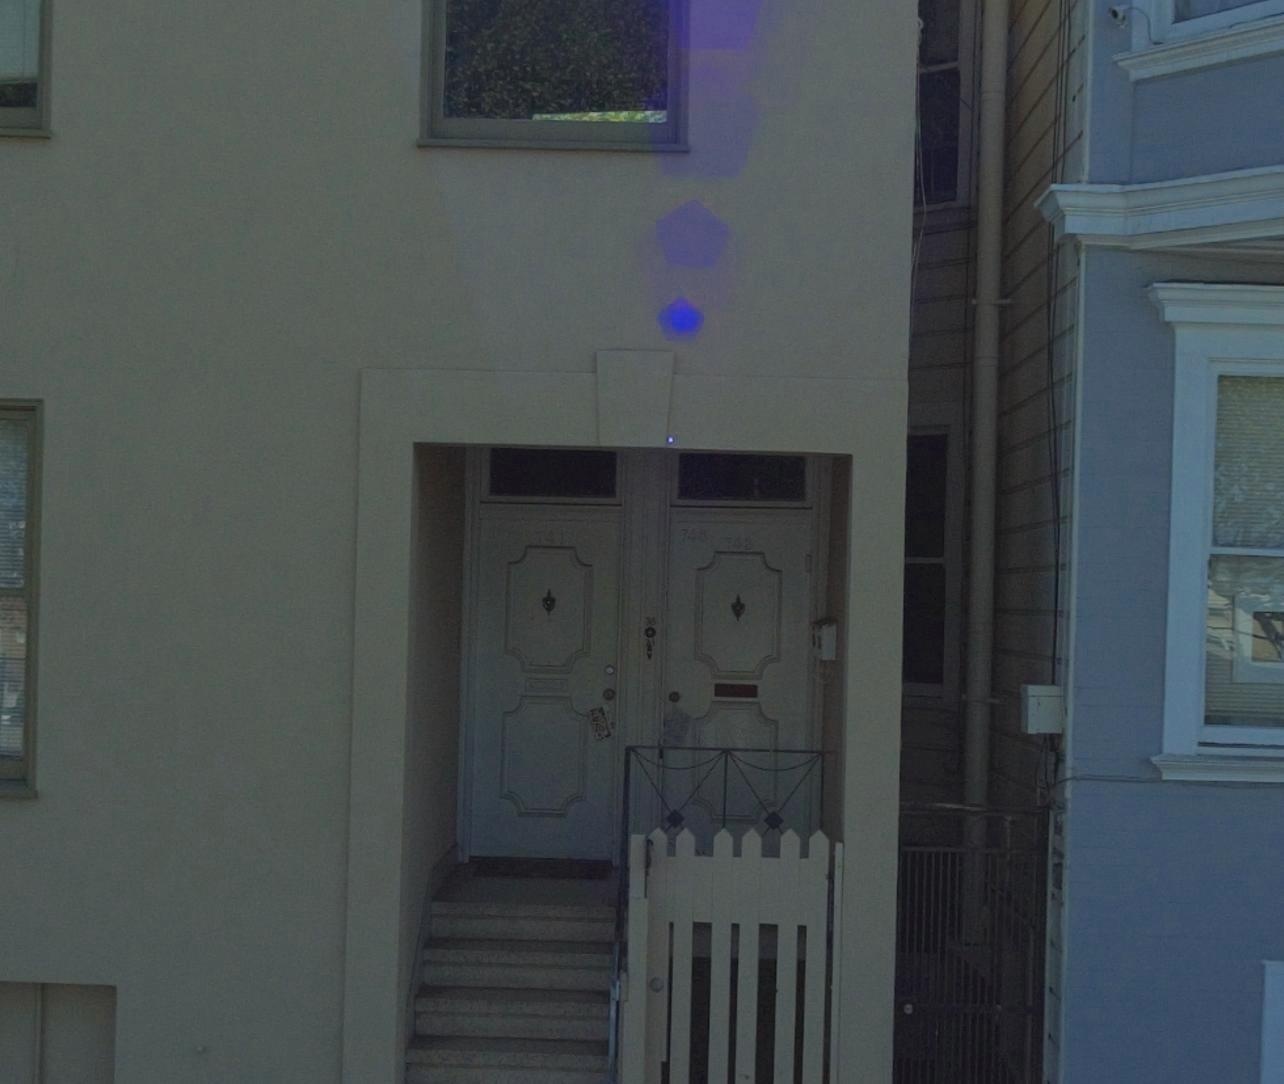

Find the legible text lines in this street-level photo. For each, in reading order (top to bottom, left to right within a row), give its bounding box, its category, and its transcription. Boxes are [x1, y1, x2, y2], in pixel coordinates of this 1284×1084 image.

[533, 526, 566, 548] StreetNumber: 741
[680, 527, 709, 545] StreetNumber: 745
[723, 534, 754, 553] StreetNumber: 743